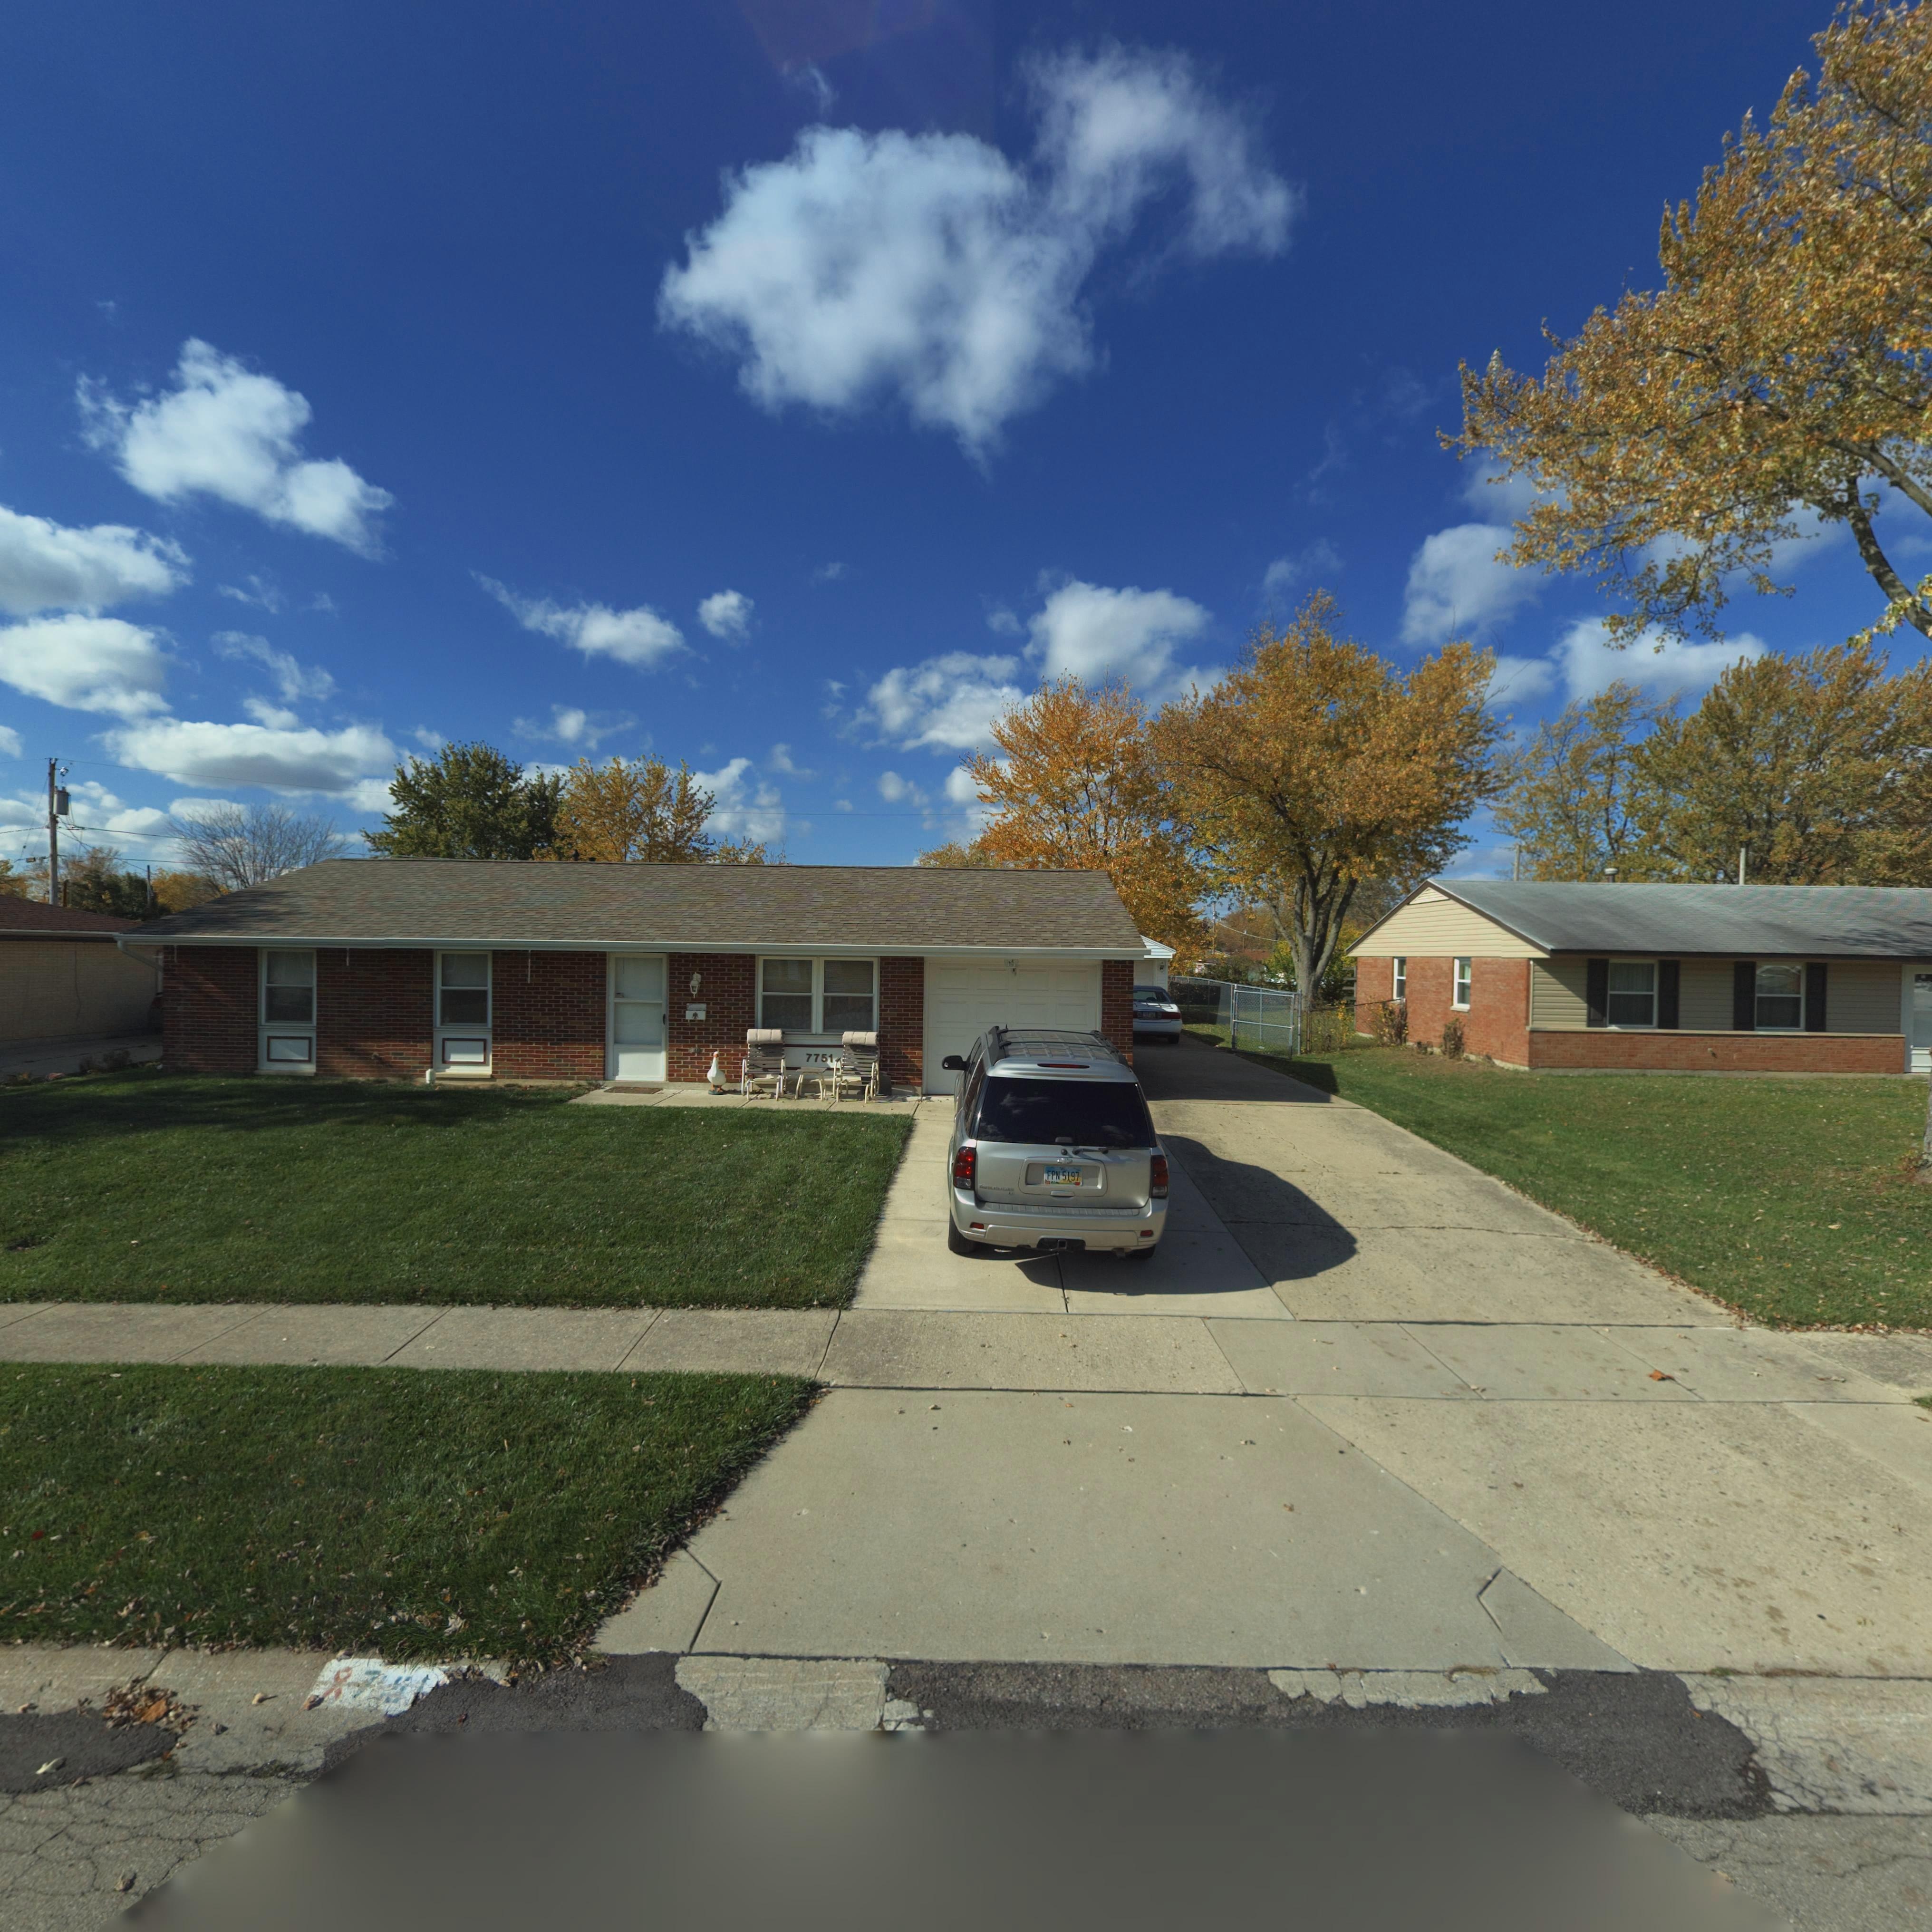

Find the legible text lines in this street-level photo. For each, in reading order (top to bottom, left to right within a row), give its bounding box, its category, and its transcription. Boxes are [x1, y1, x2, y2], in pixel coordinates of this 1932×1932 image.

[805, 1052, 834, 1063] StreetNumber: 7751
[350, 1667, 415, 1706] StreetNumber: 7*5